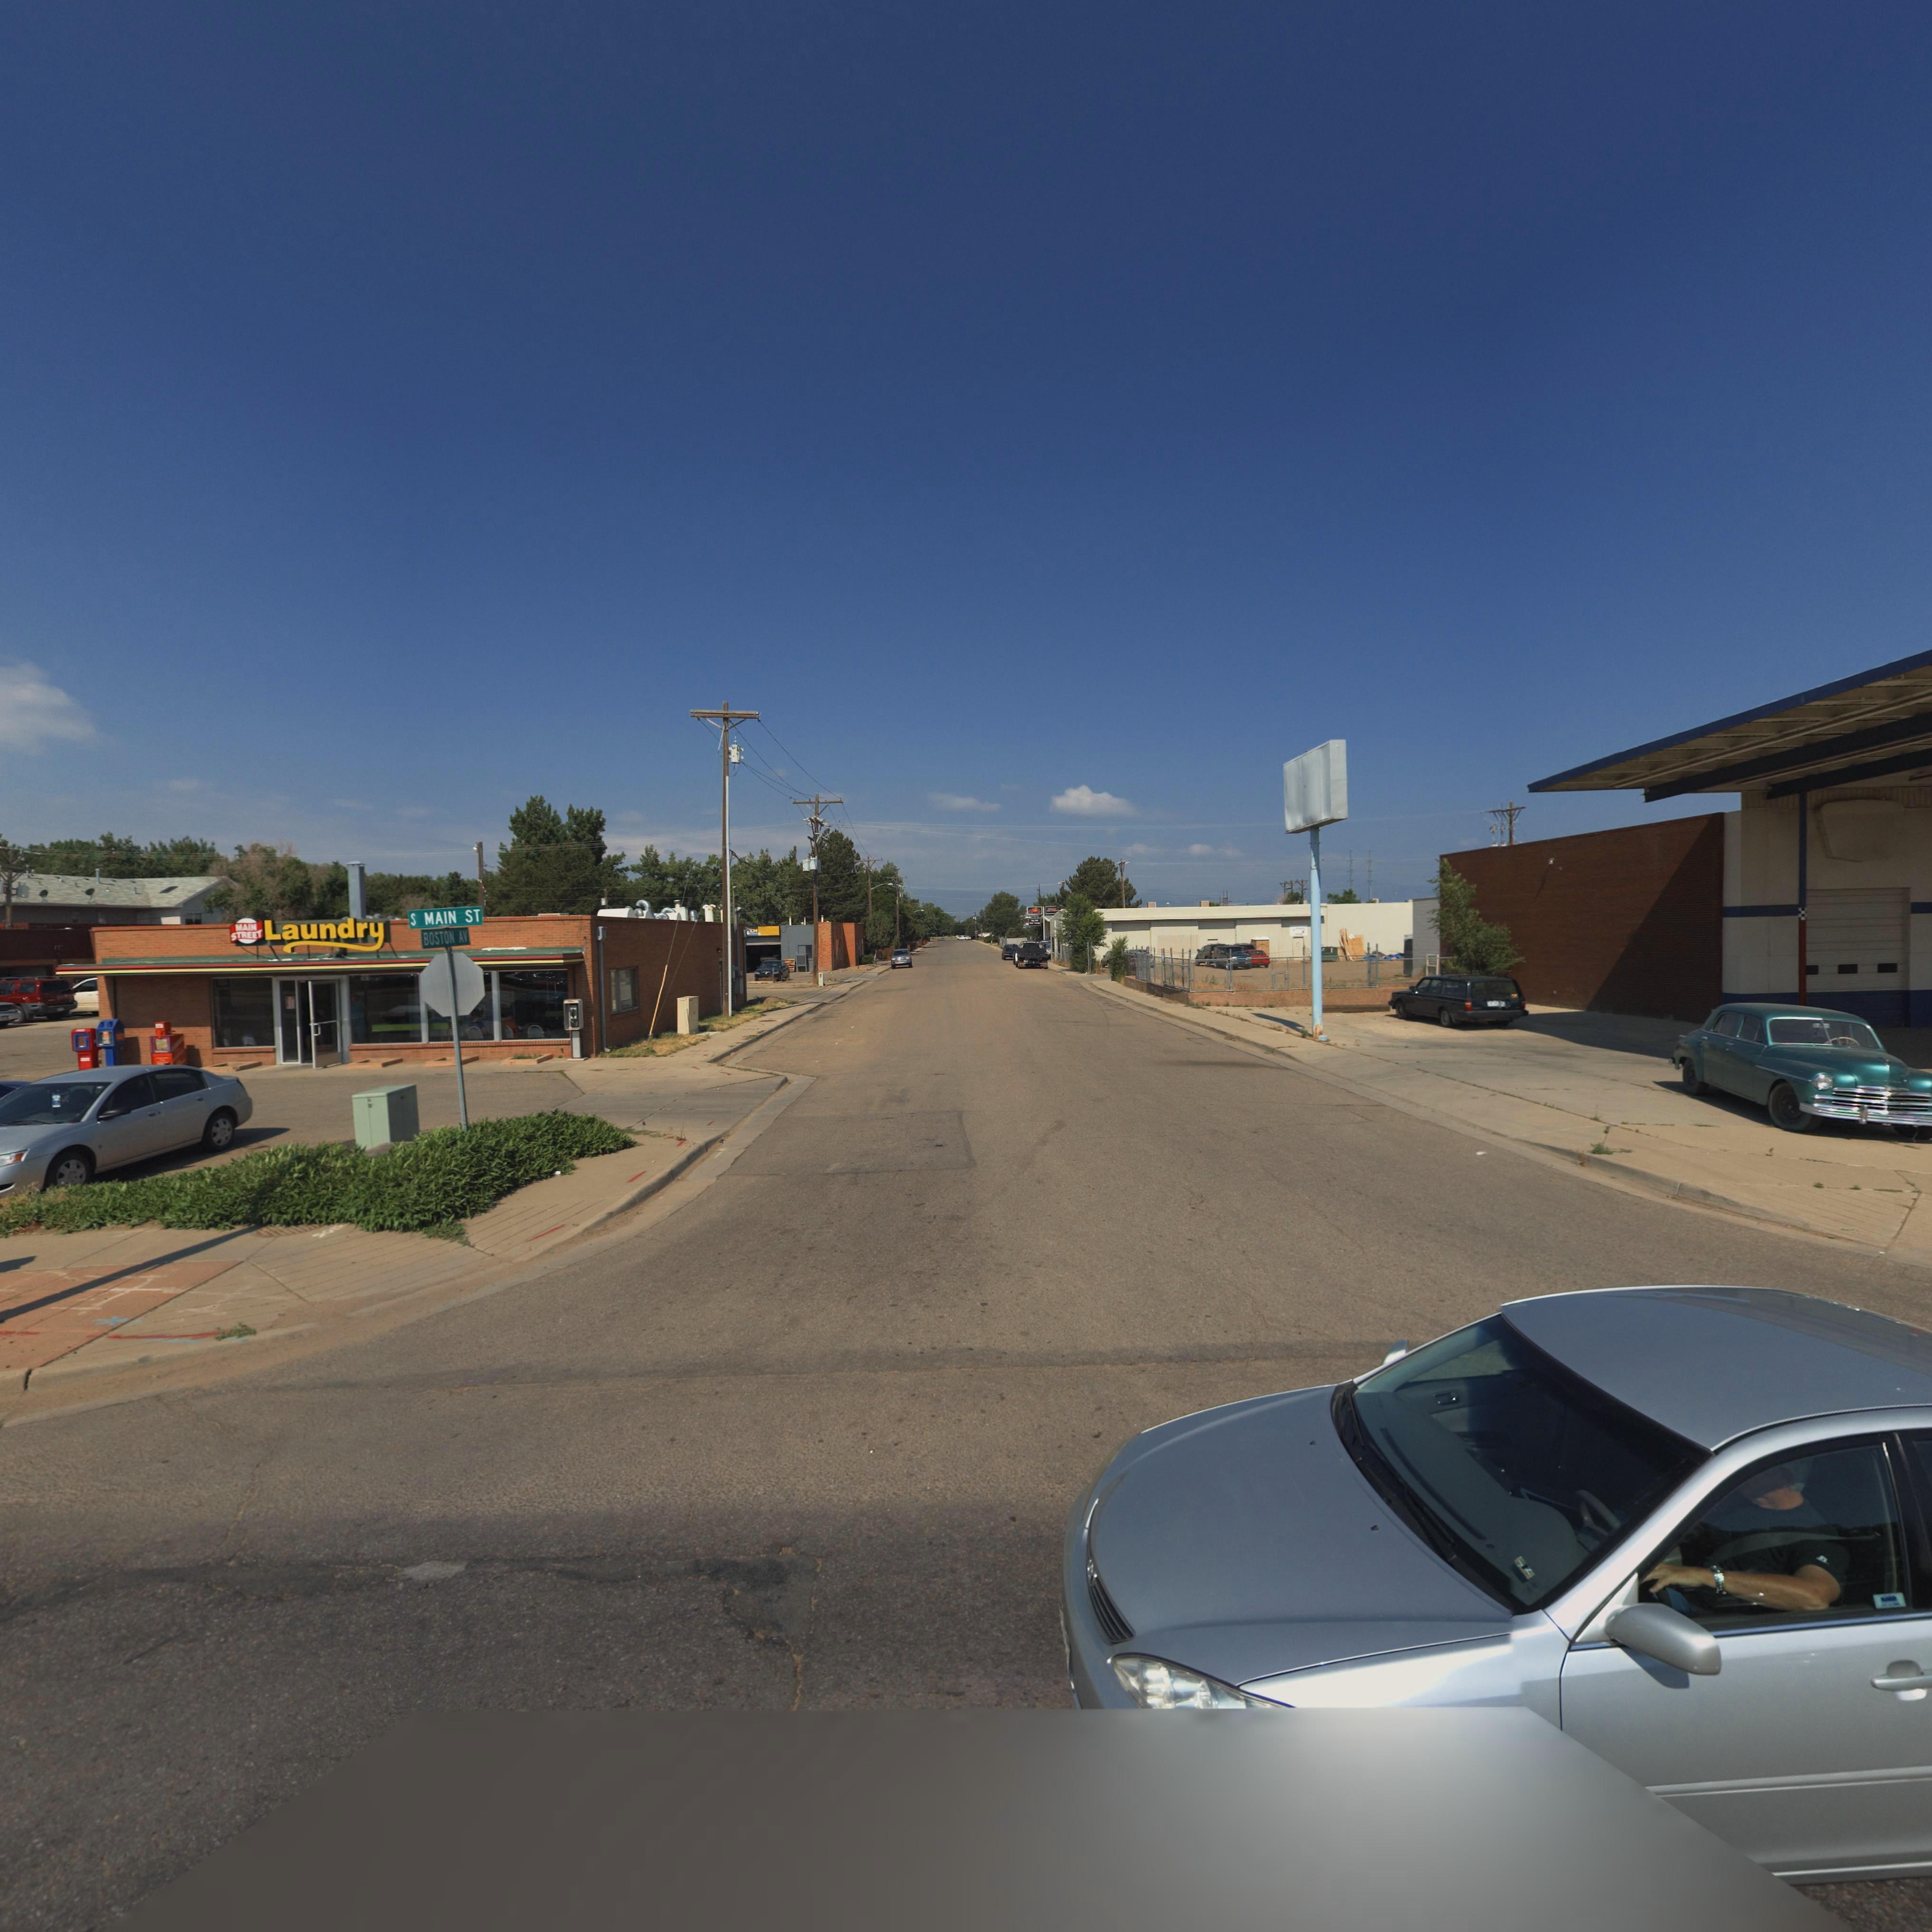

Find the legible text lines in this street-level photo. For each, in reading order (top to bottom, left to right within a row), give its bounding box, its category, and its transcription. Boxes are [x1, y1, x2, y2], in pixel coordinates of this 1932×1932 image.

[410, 908, 481, 926] StreetName: S MAIN ST
[235, 923, 257, 931] BusinessName: MAIN
[230, 929, 262, 941] BusinessName: STREET
[263, 918, 385, 951] BusinessName: Laundry
[423, 929, 467, 946] StreetName: BOSTON AV